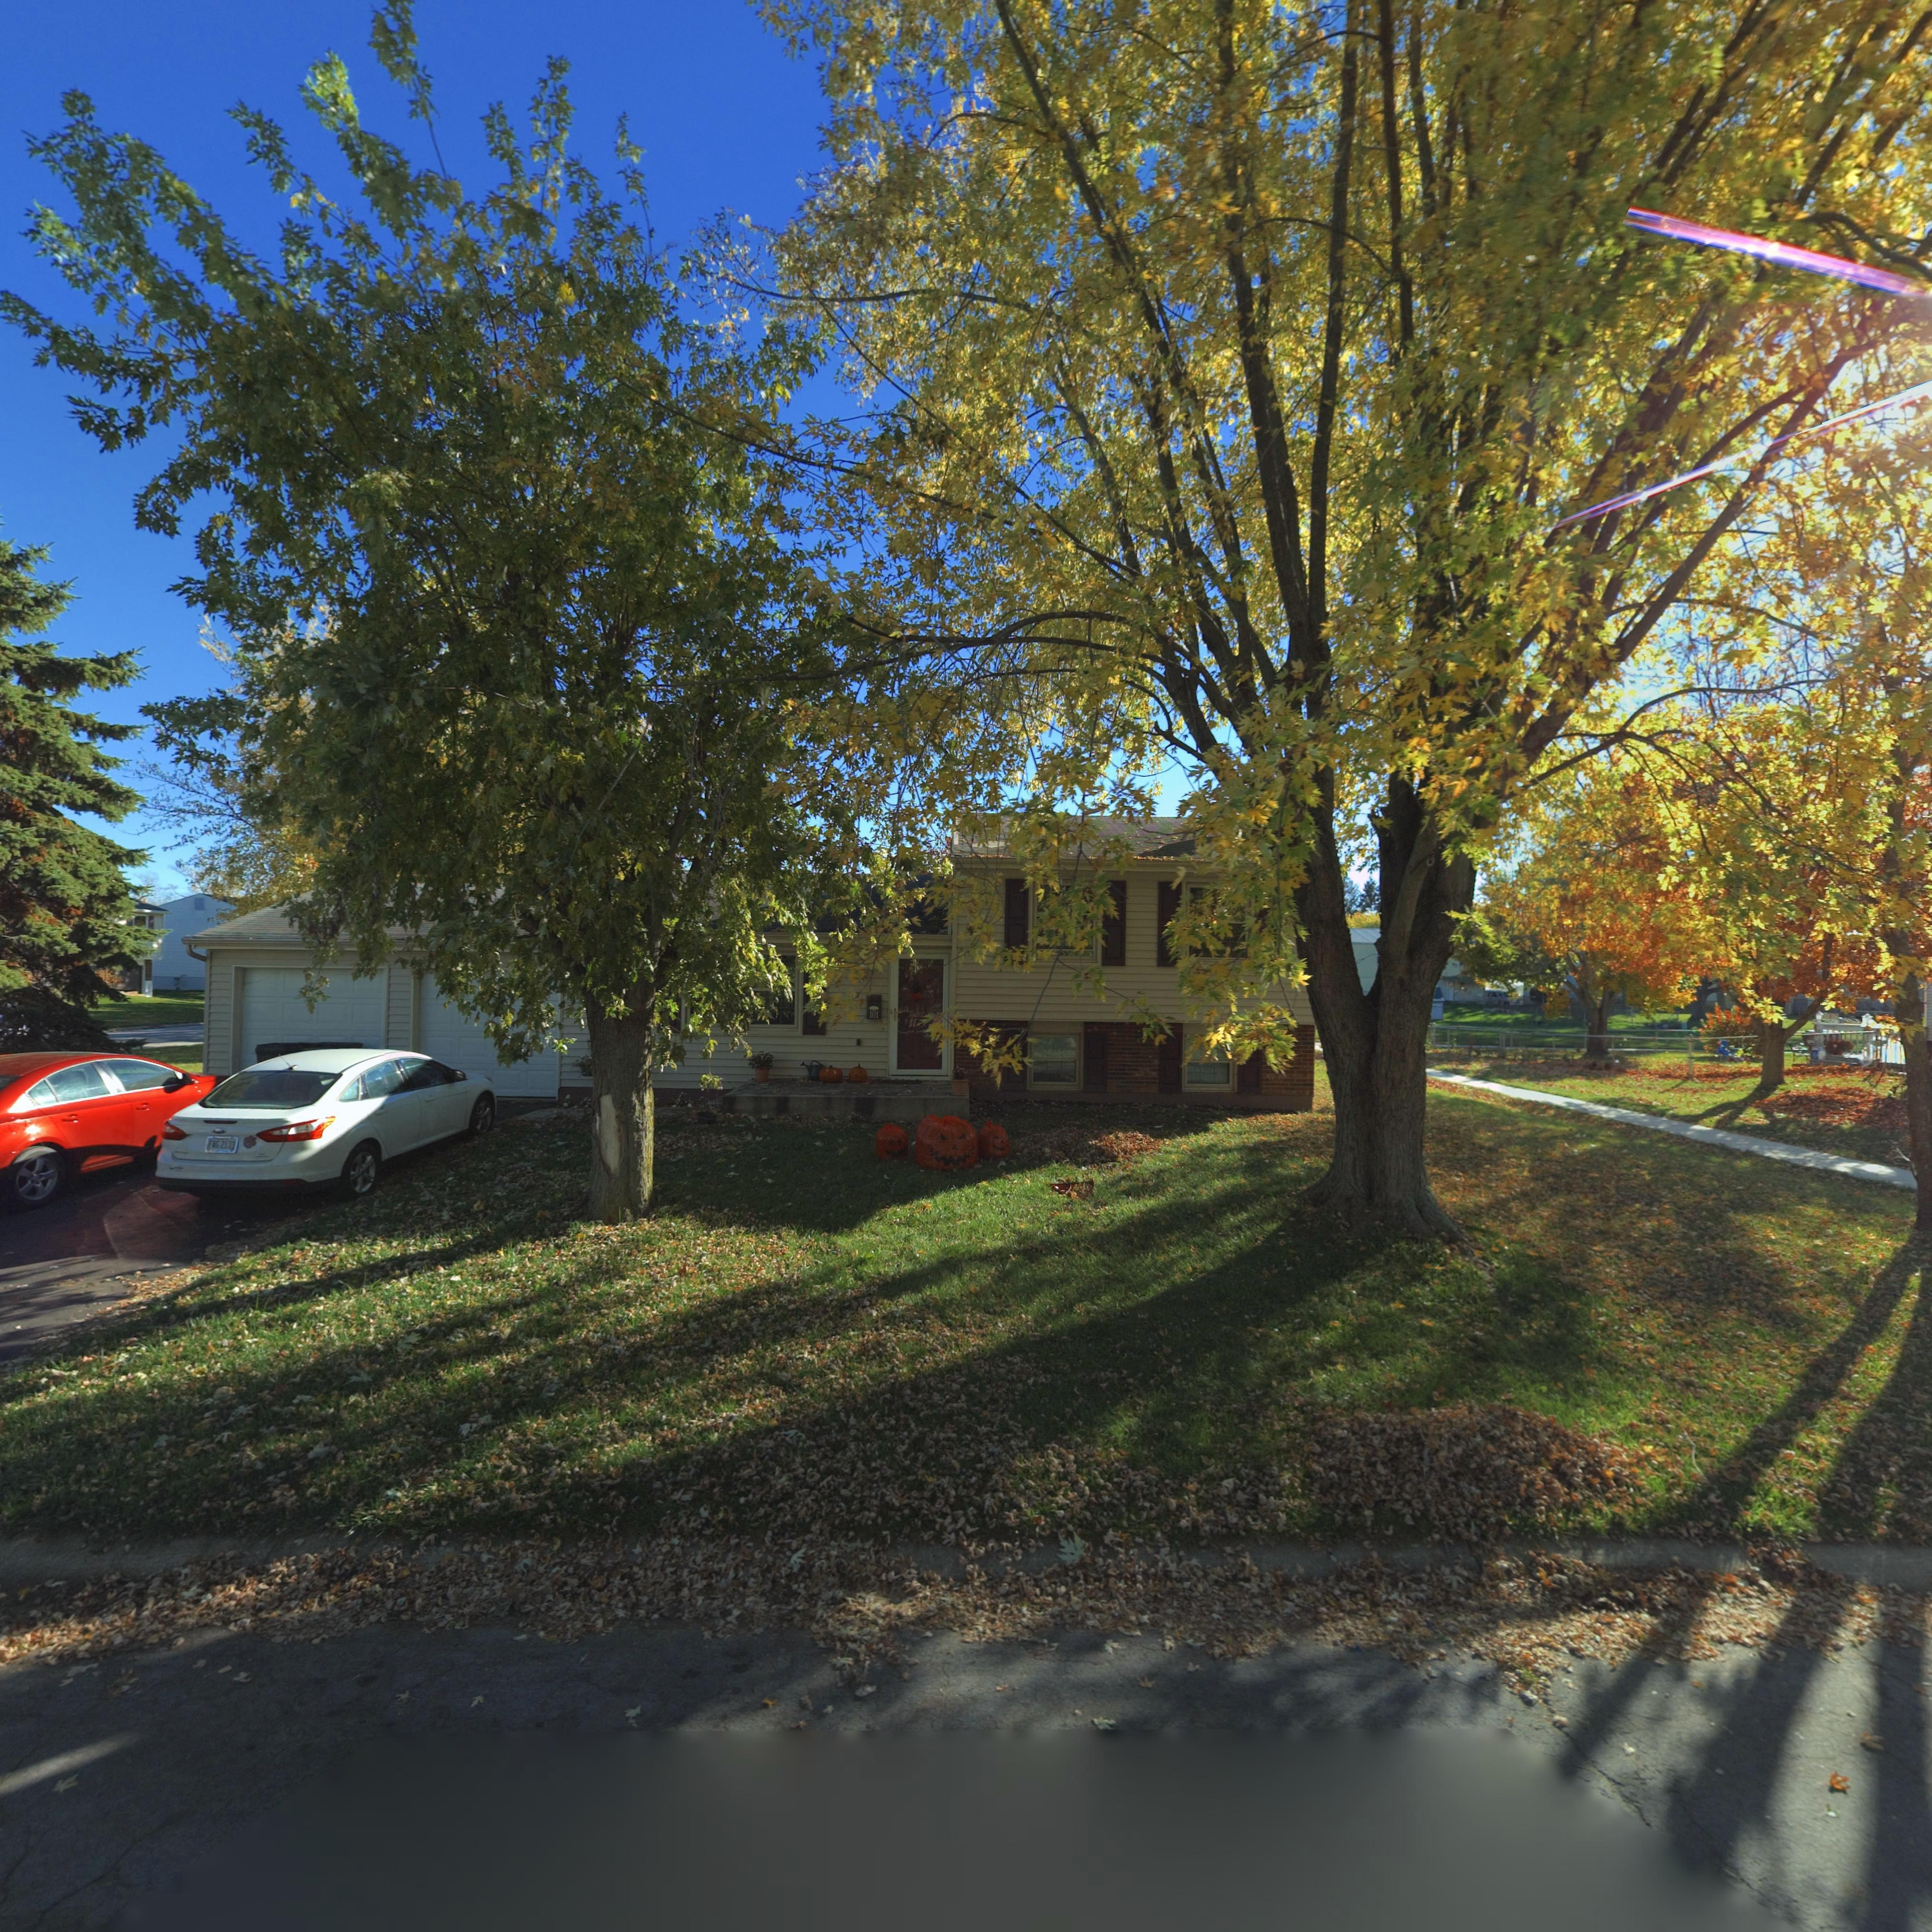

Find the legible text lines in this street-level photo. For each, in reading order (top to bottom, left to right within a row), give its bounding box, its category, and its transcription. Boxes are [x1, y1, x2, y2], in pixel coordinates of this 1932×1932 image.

[869, 1010, 879, 1019] StreetNumber: 101